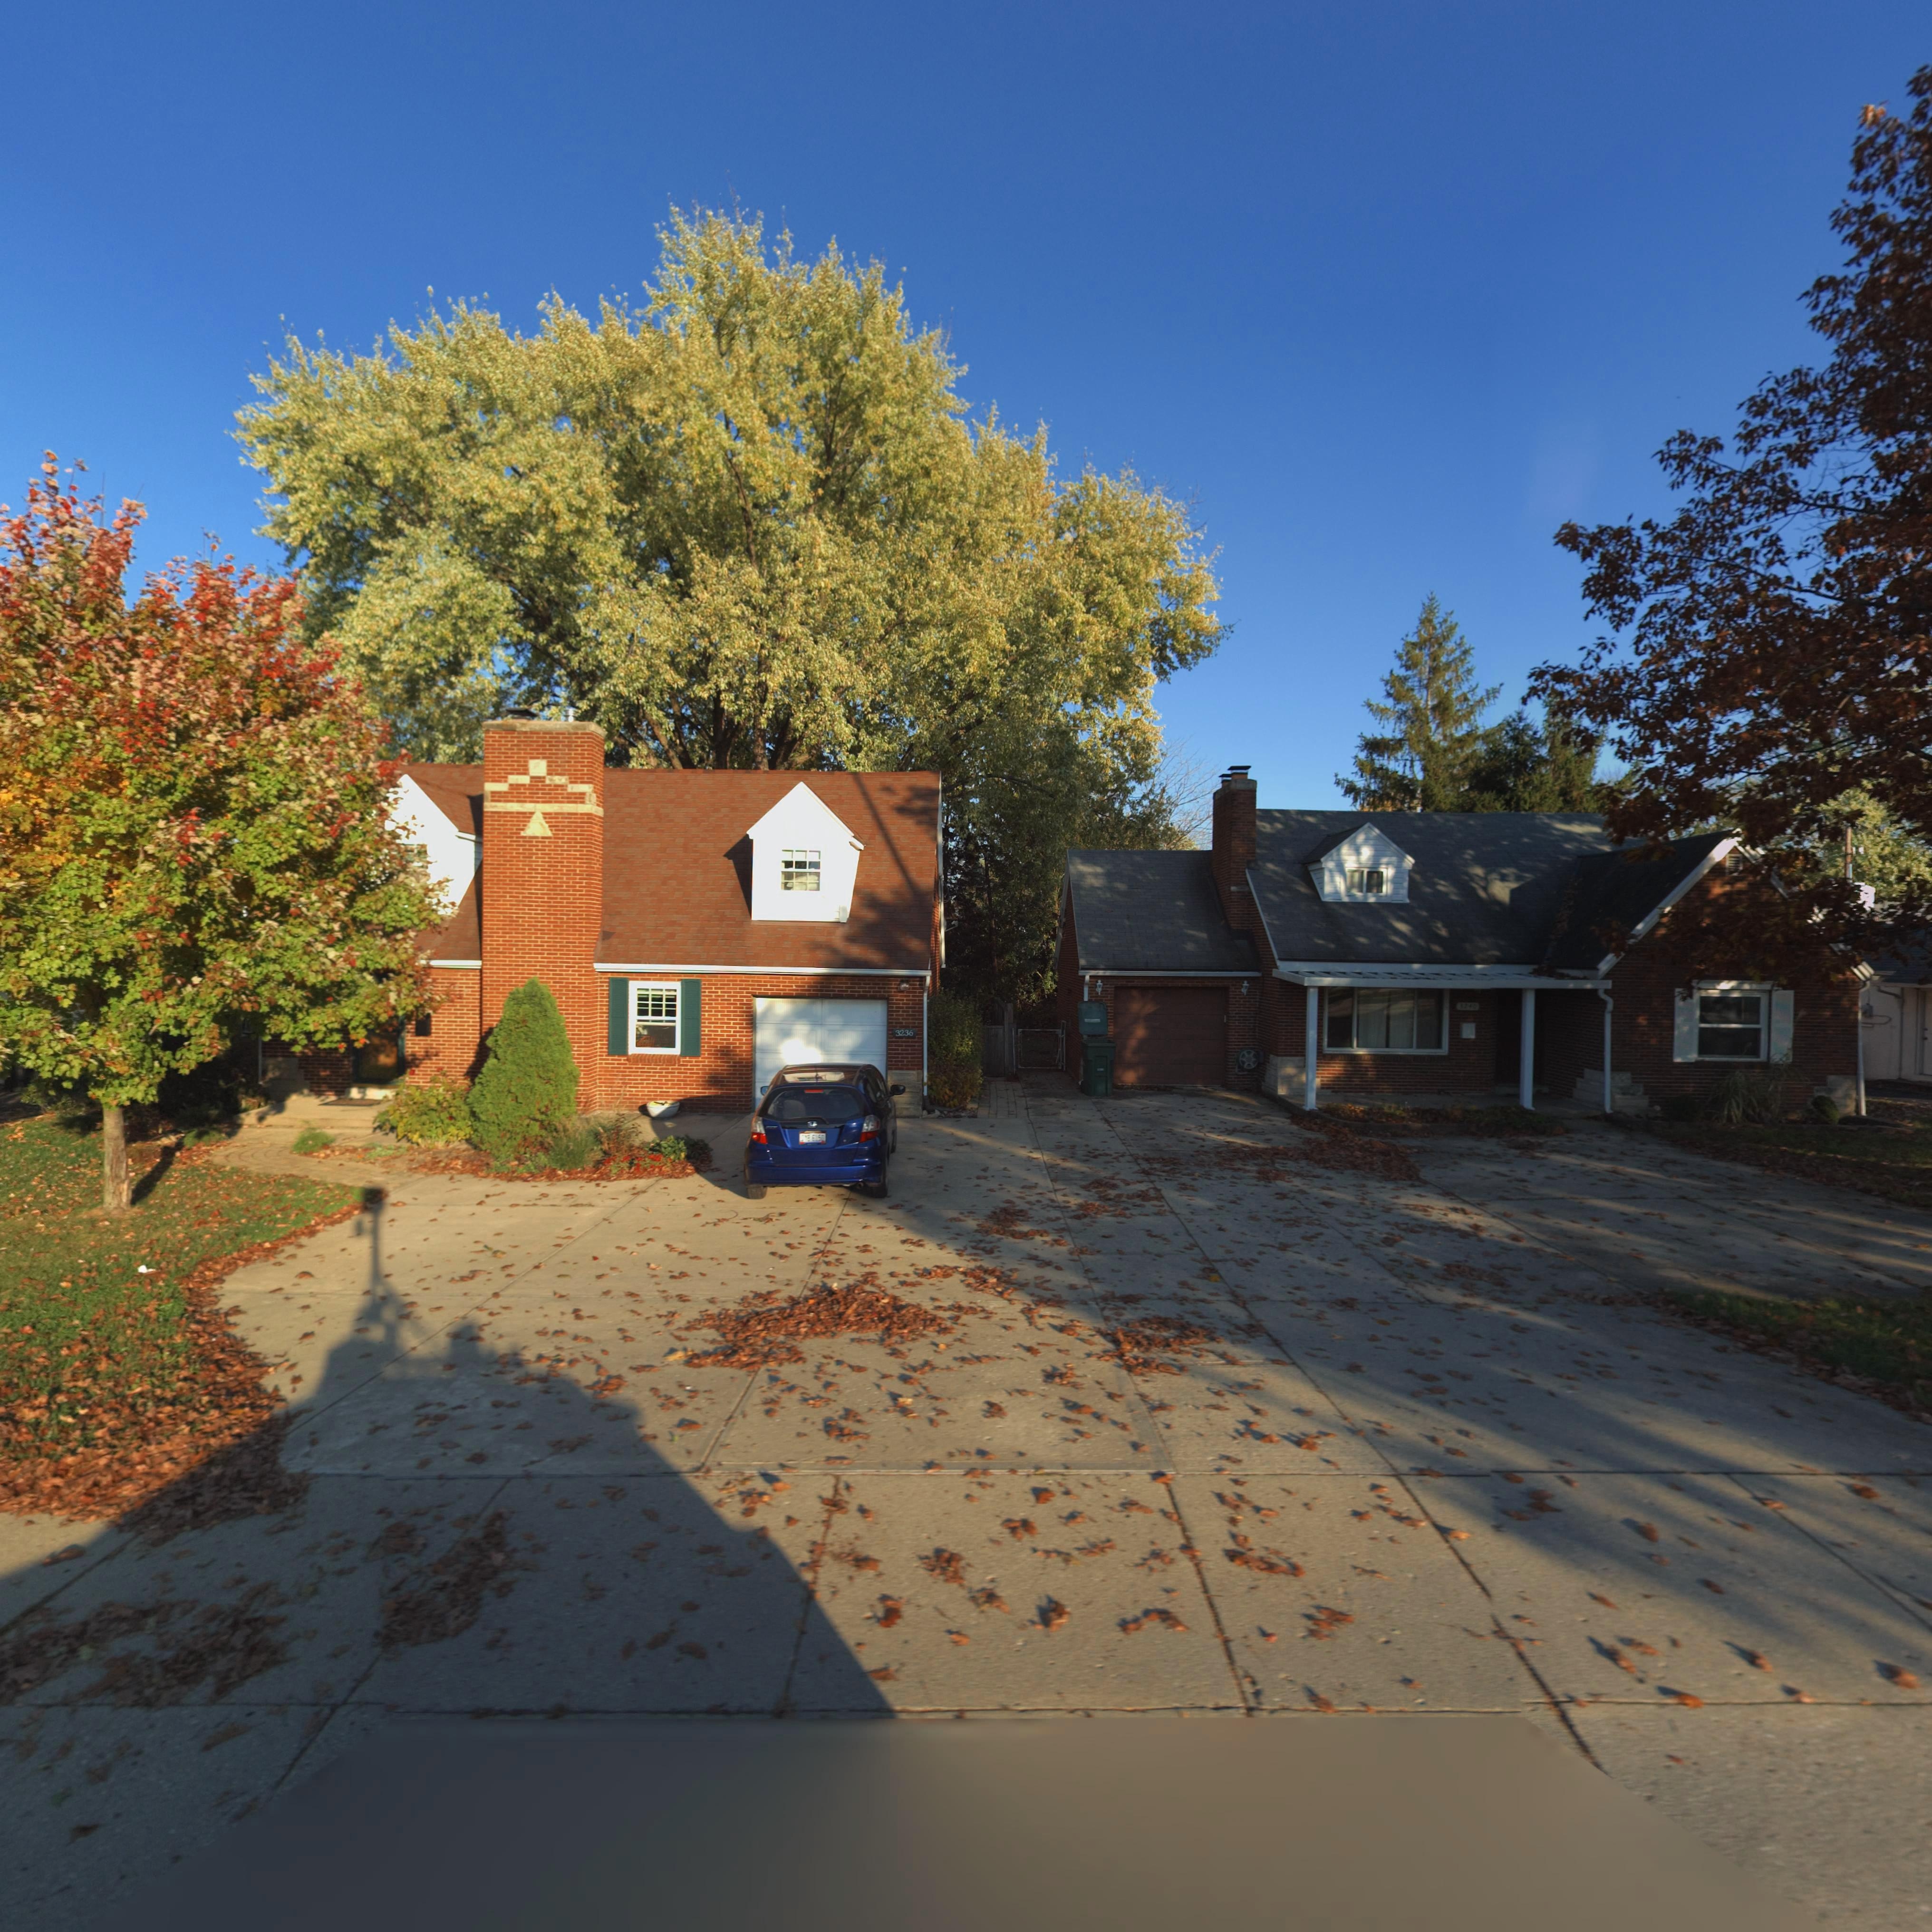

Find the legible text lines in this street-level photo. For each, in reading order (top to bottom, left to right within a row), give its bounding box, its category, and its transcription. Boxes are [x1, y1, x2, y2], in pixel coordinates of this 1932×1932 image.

[894, 1029, 915, 1037] StreetNumber: 3236